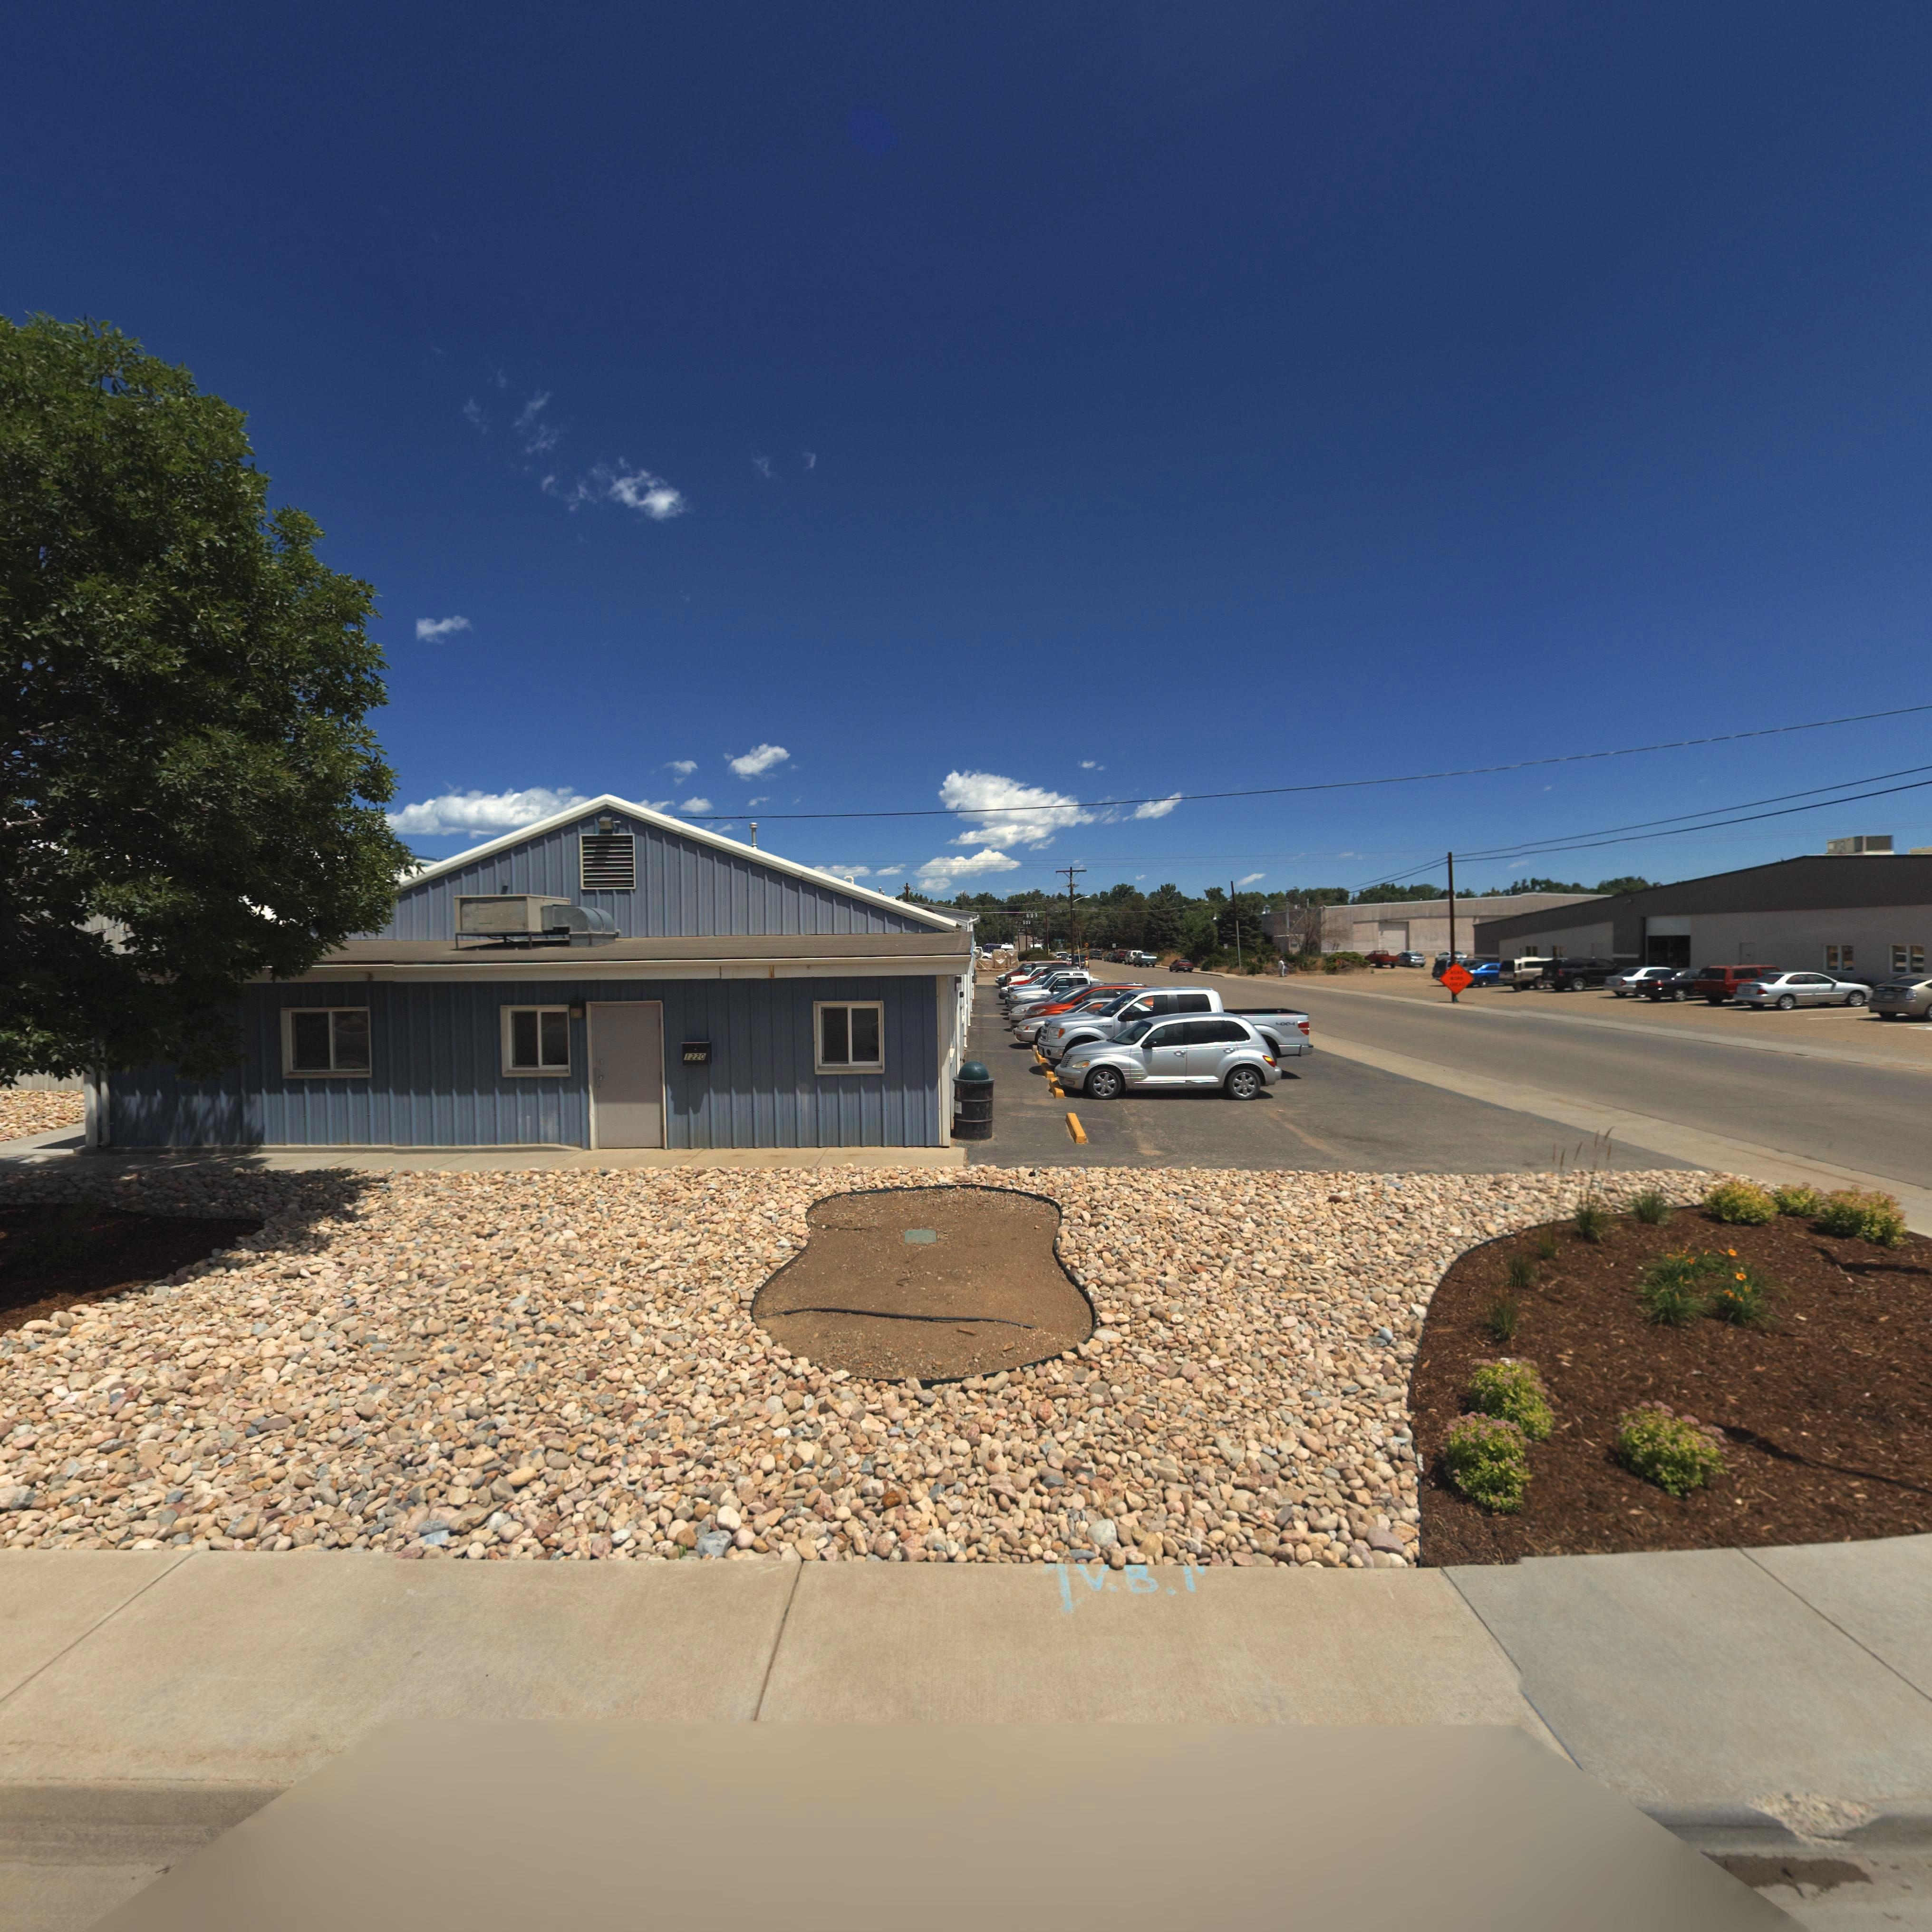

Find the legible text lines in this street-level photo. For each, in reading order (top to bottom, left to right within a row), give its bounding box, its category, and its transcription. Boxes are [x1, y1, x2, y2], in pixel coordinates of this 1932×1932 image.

[685, 1053, 706, 1060] StreetNumber: 1220